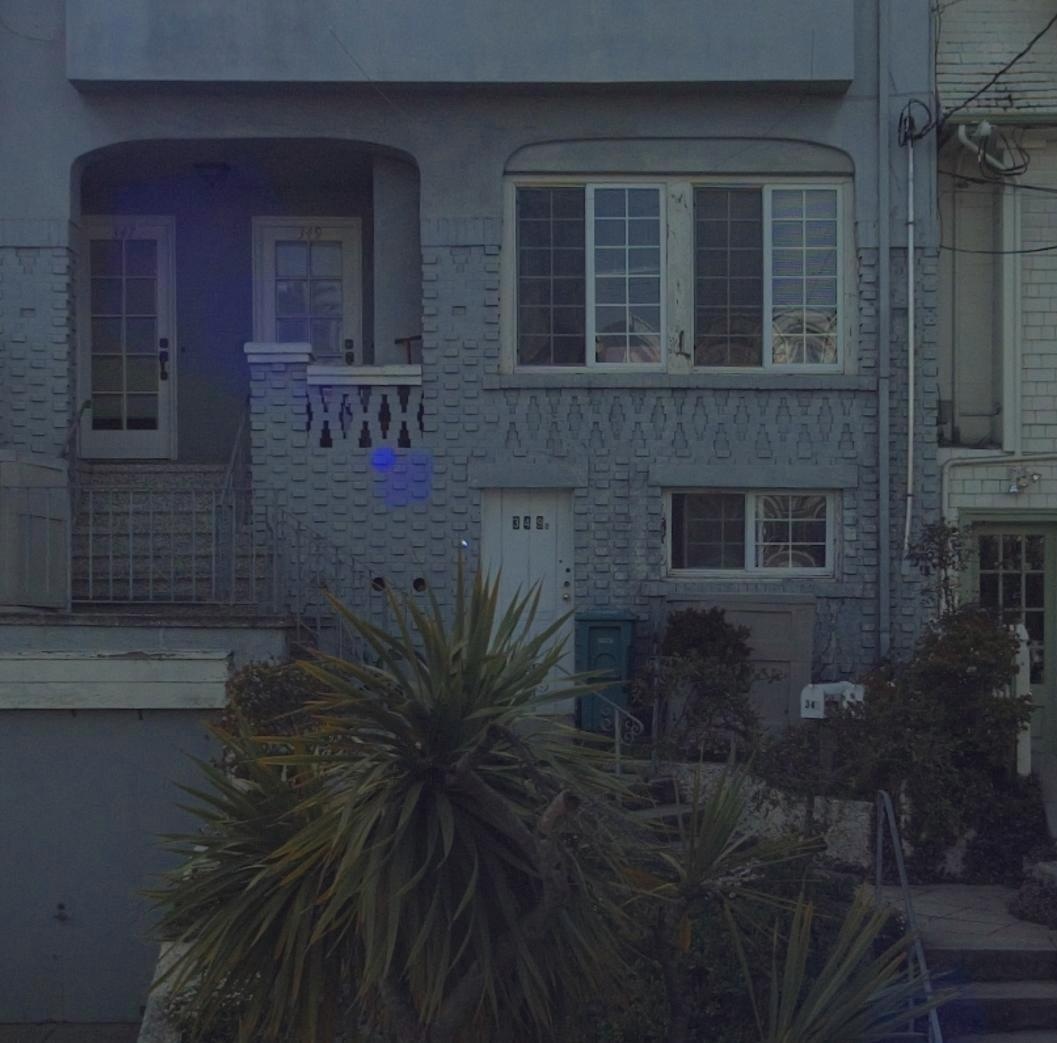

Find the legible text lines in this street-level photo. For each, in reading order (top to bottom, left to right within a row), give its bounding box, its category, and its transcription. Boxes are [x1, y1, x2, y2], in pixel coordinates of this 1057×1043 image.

[109, 225, 141, 240] StreetNumber: 347
[294, 224, 325, 241] StreetNumber: 349
[513, 516, 544, 529] StreetNumber: 349
[803, 697, 817, 712] StreetNumber: 34